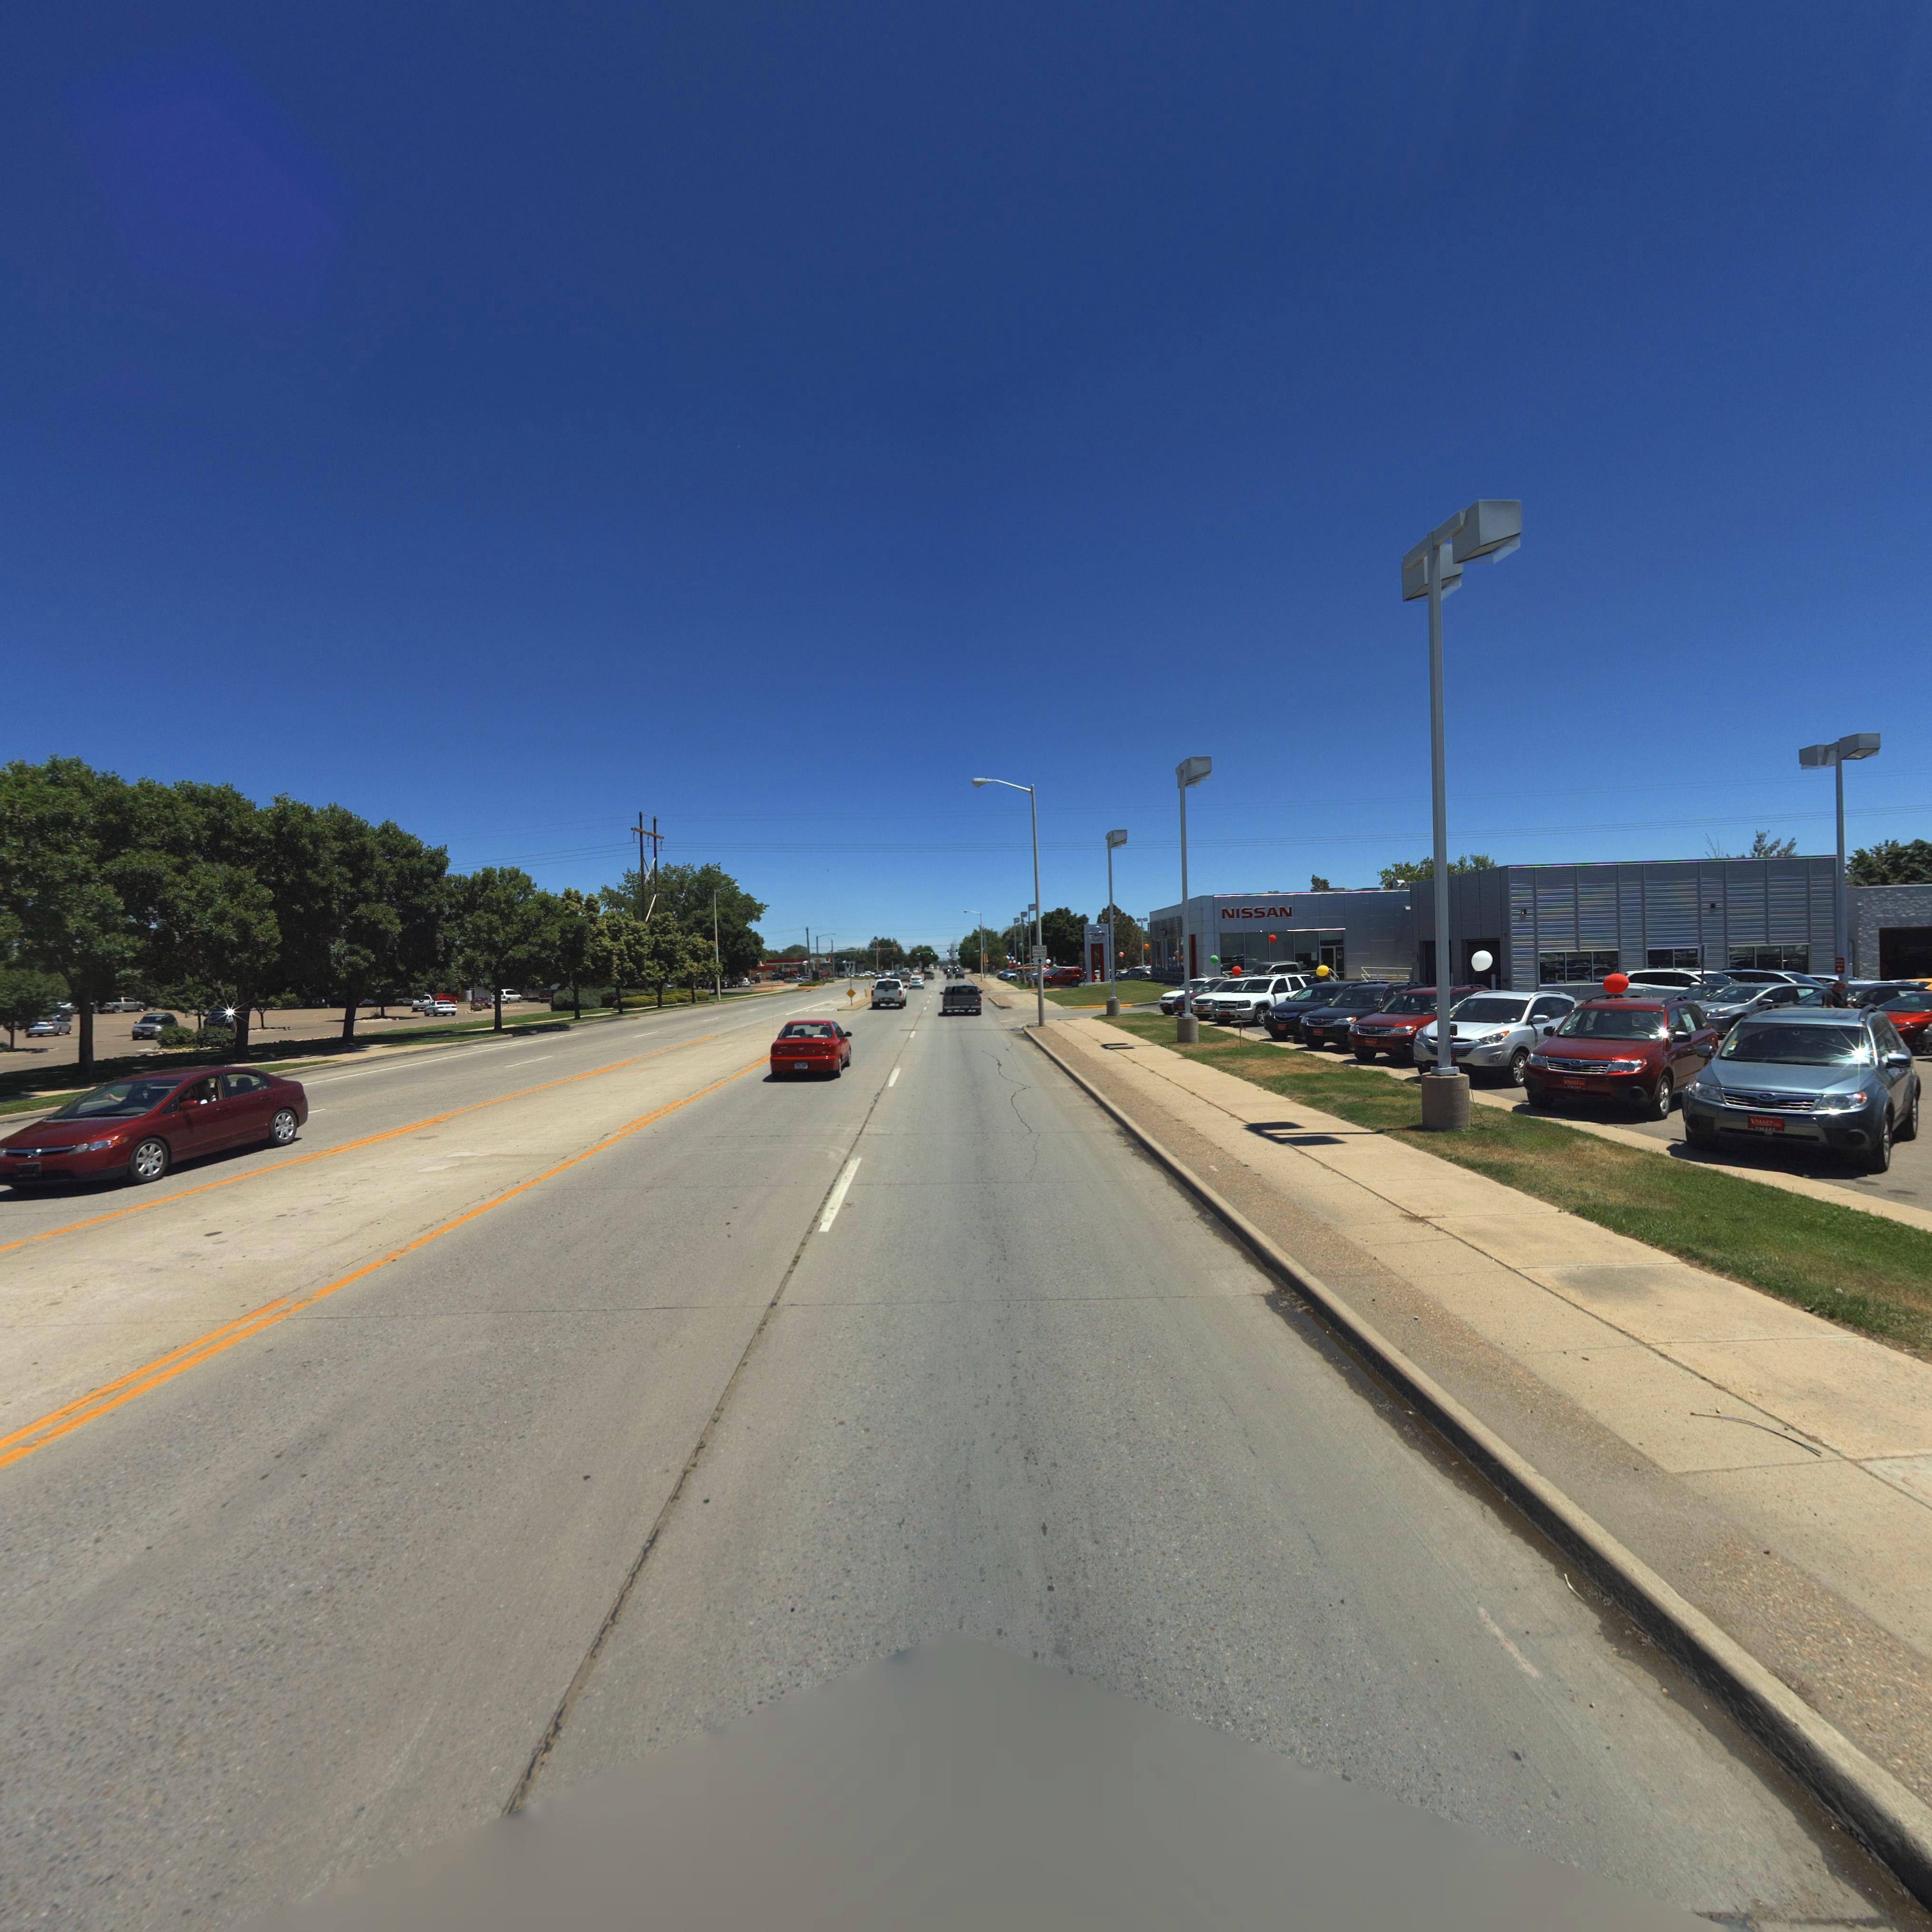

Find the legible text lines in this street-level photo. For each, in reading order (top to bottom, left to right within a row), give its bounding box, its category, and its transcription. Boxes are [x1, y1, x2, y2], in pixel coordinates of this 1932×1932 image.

[1222, 906, 1292, 919] BusinessName: NISSAN